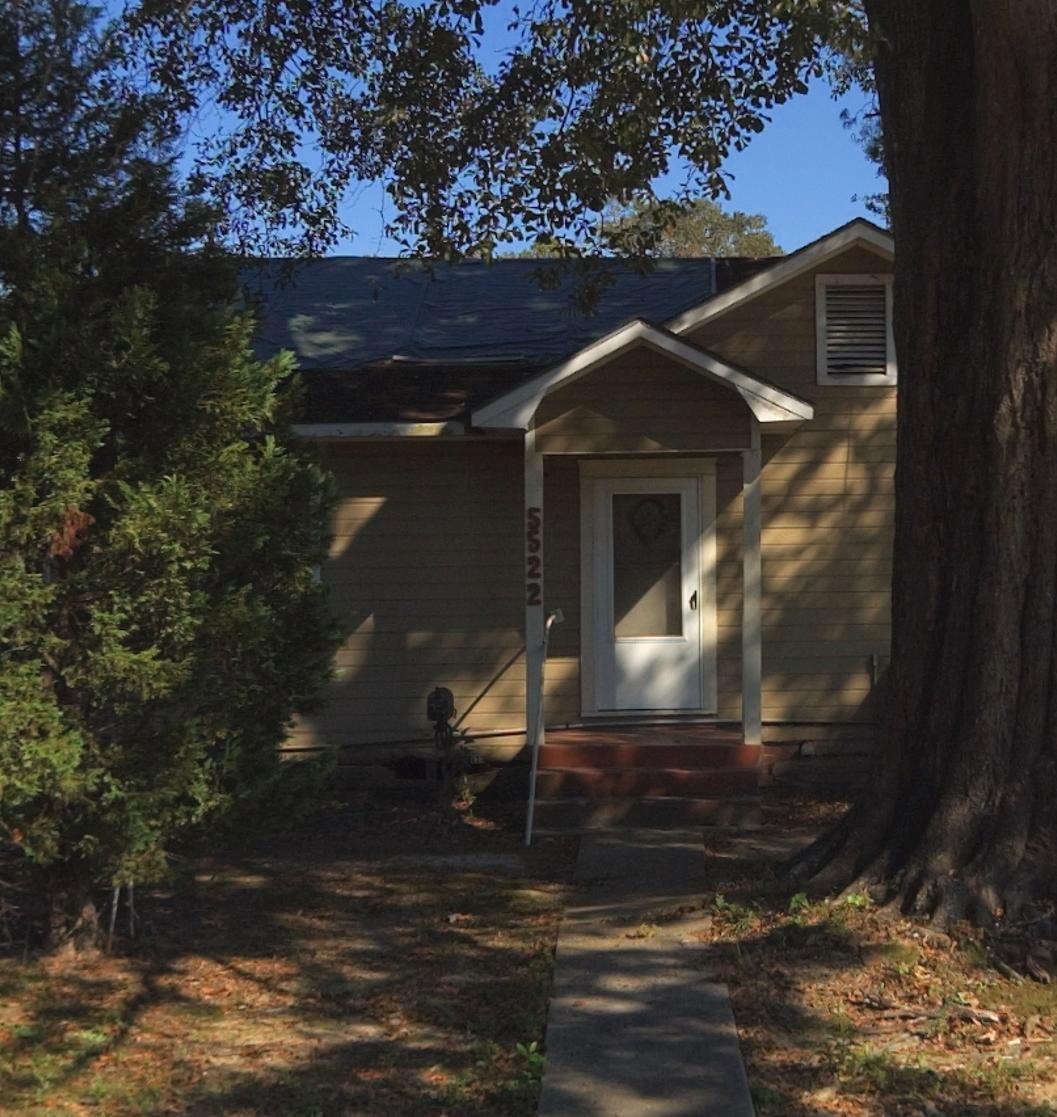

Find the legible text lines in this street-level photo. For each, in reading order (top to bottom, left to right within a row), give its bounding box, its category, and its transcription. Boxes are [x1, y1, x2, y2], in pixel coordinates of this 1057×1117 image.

[525, 506, 542, 607] StreetNumber: 5522